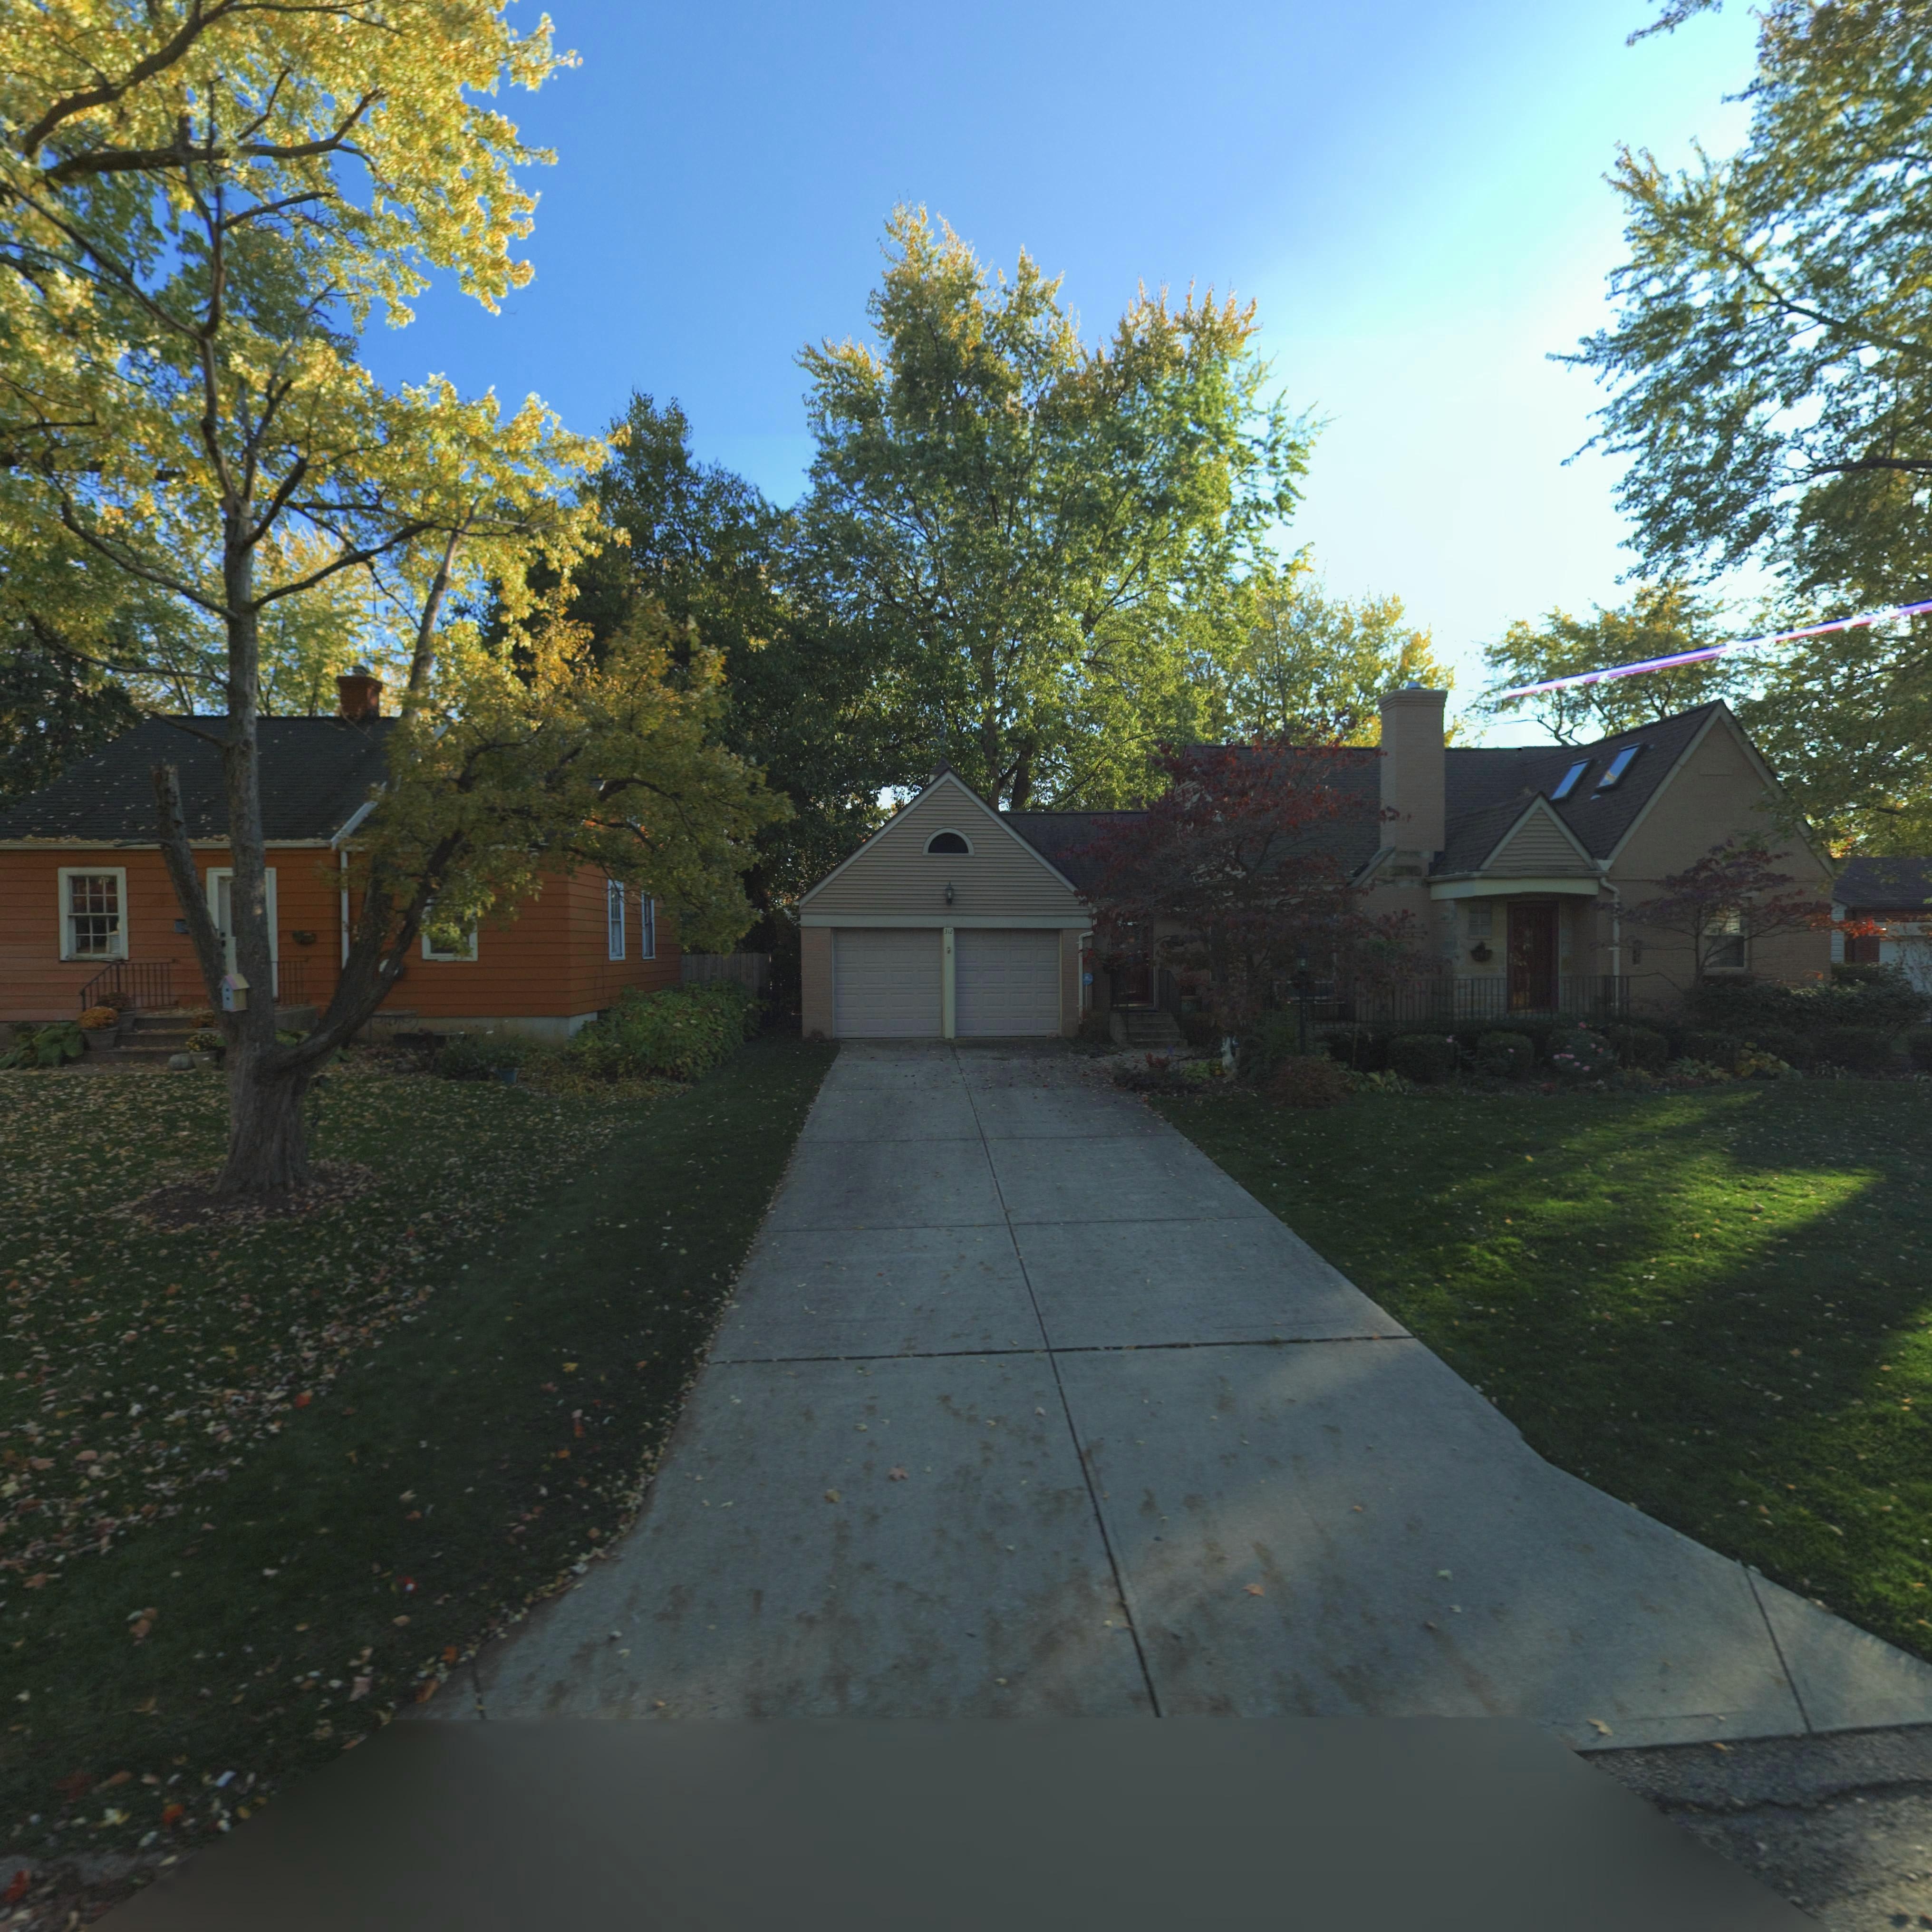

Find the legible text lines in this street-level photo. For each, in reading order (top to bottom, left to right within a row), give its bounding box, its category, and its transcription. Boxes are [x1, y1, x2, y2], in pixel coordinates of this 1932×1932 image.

[943, 928, 953, 935] StreetNumber: 312